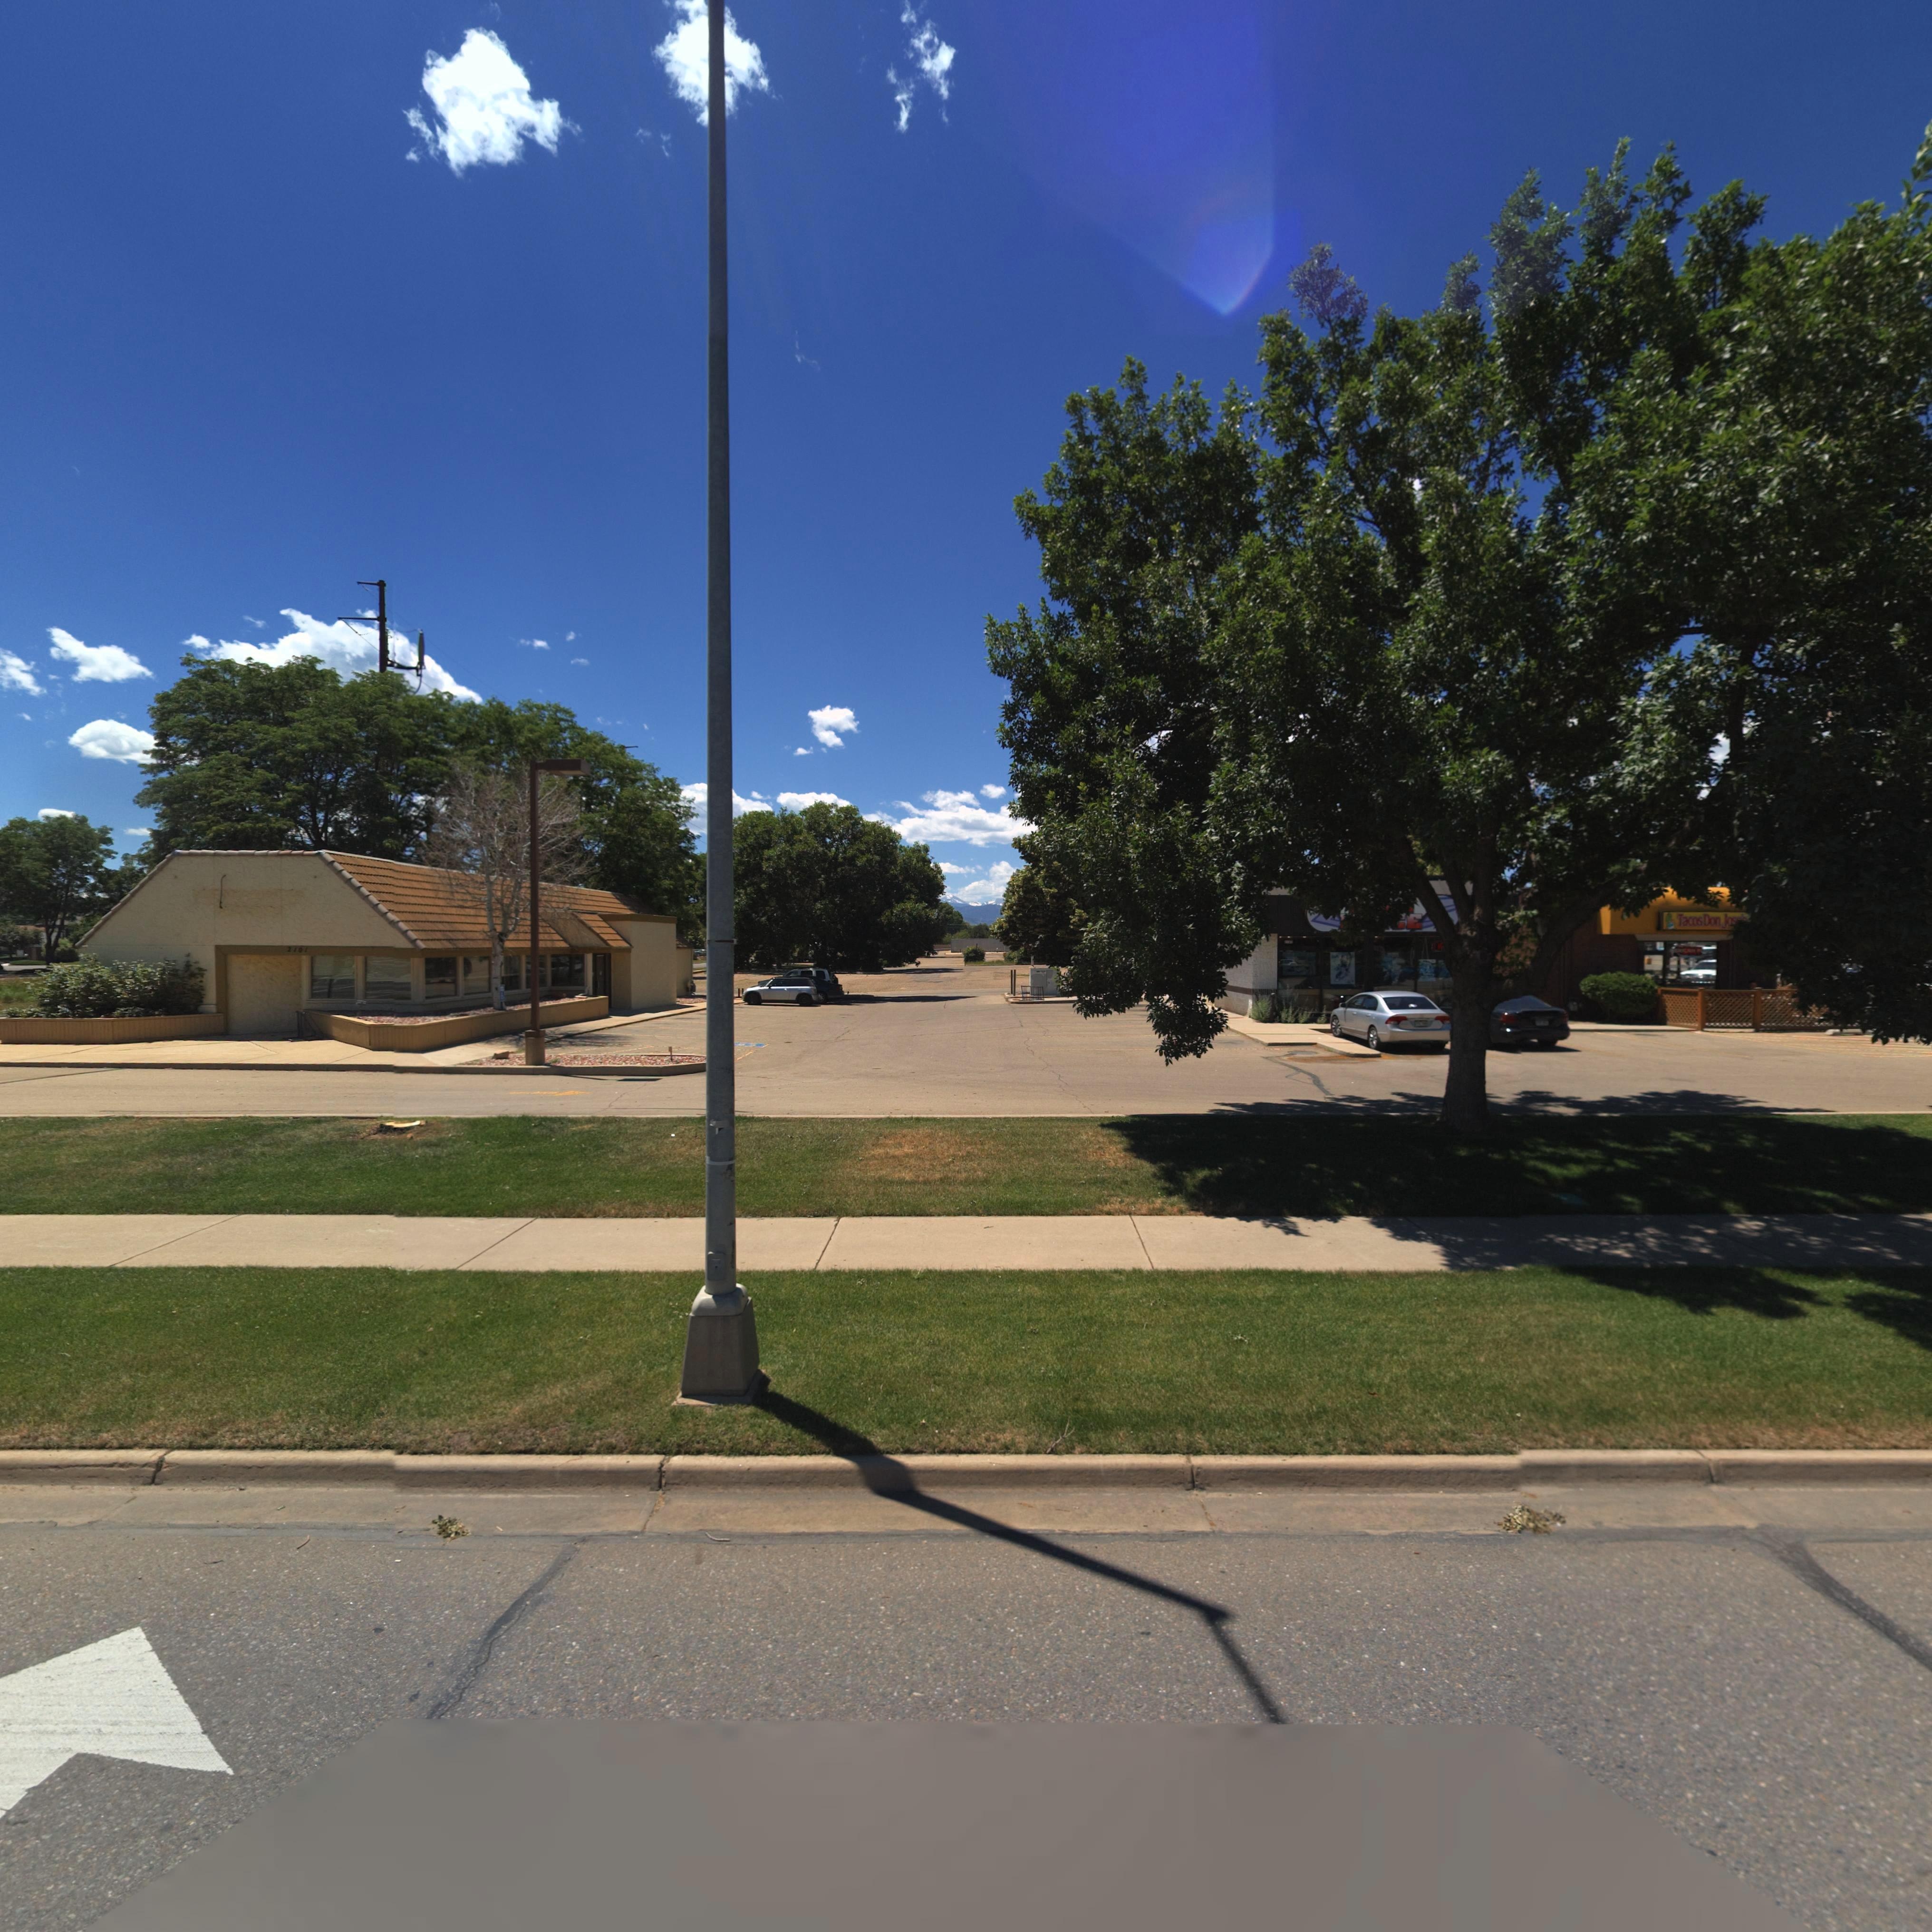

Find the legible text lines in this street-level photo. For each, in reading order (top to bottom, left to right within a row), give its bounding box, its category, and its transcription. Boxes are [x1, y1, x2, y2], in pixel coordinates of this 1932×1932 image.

[1397, 914, 1422, 928] BusinessName: *E
[1676, 913, 1736, 929] BusinessName: Tacos Don Jo*
[287, 946, 308, 953] StreetNumber: 2101